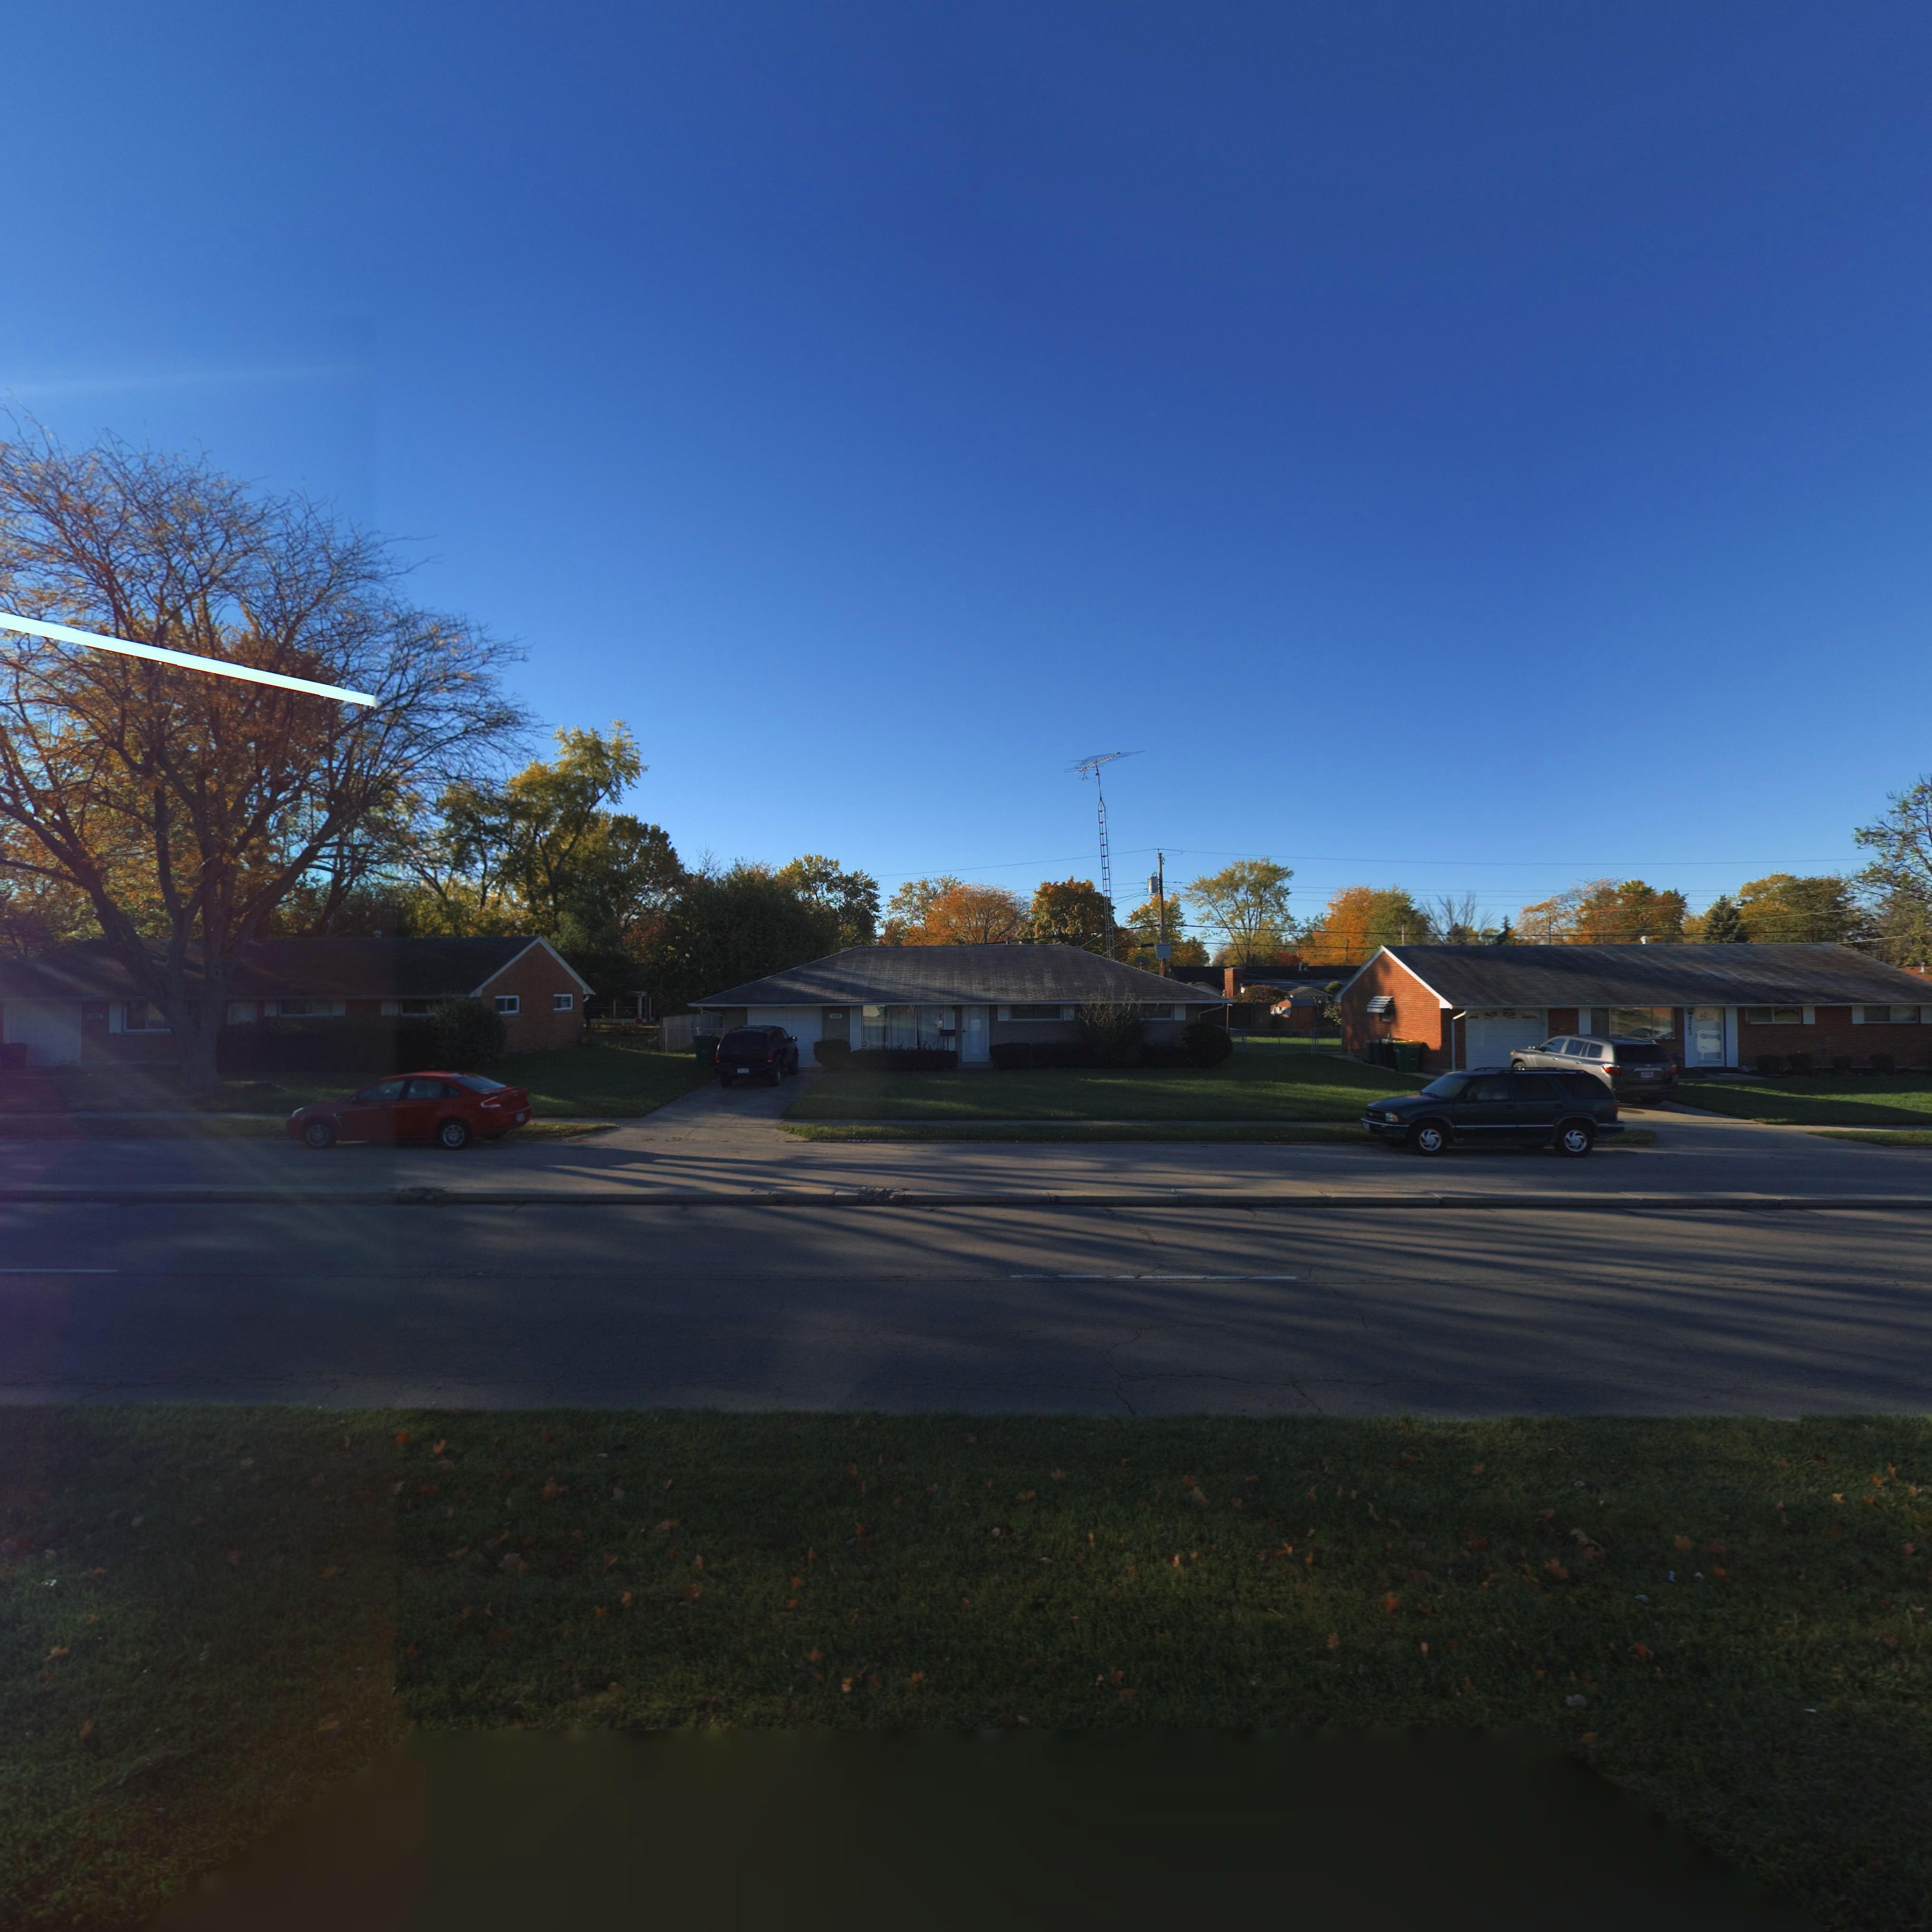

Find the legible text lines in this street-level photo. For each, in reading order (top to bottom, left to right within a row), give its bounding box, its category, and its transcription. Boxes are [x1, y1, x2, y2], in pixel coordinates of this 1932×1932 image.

[86, 1012, 104, 1020] StreetNumber: *1*4
[1687, 1015, 1693, 1035] StreetNumber: 2202